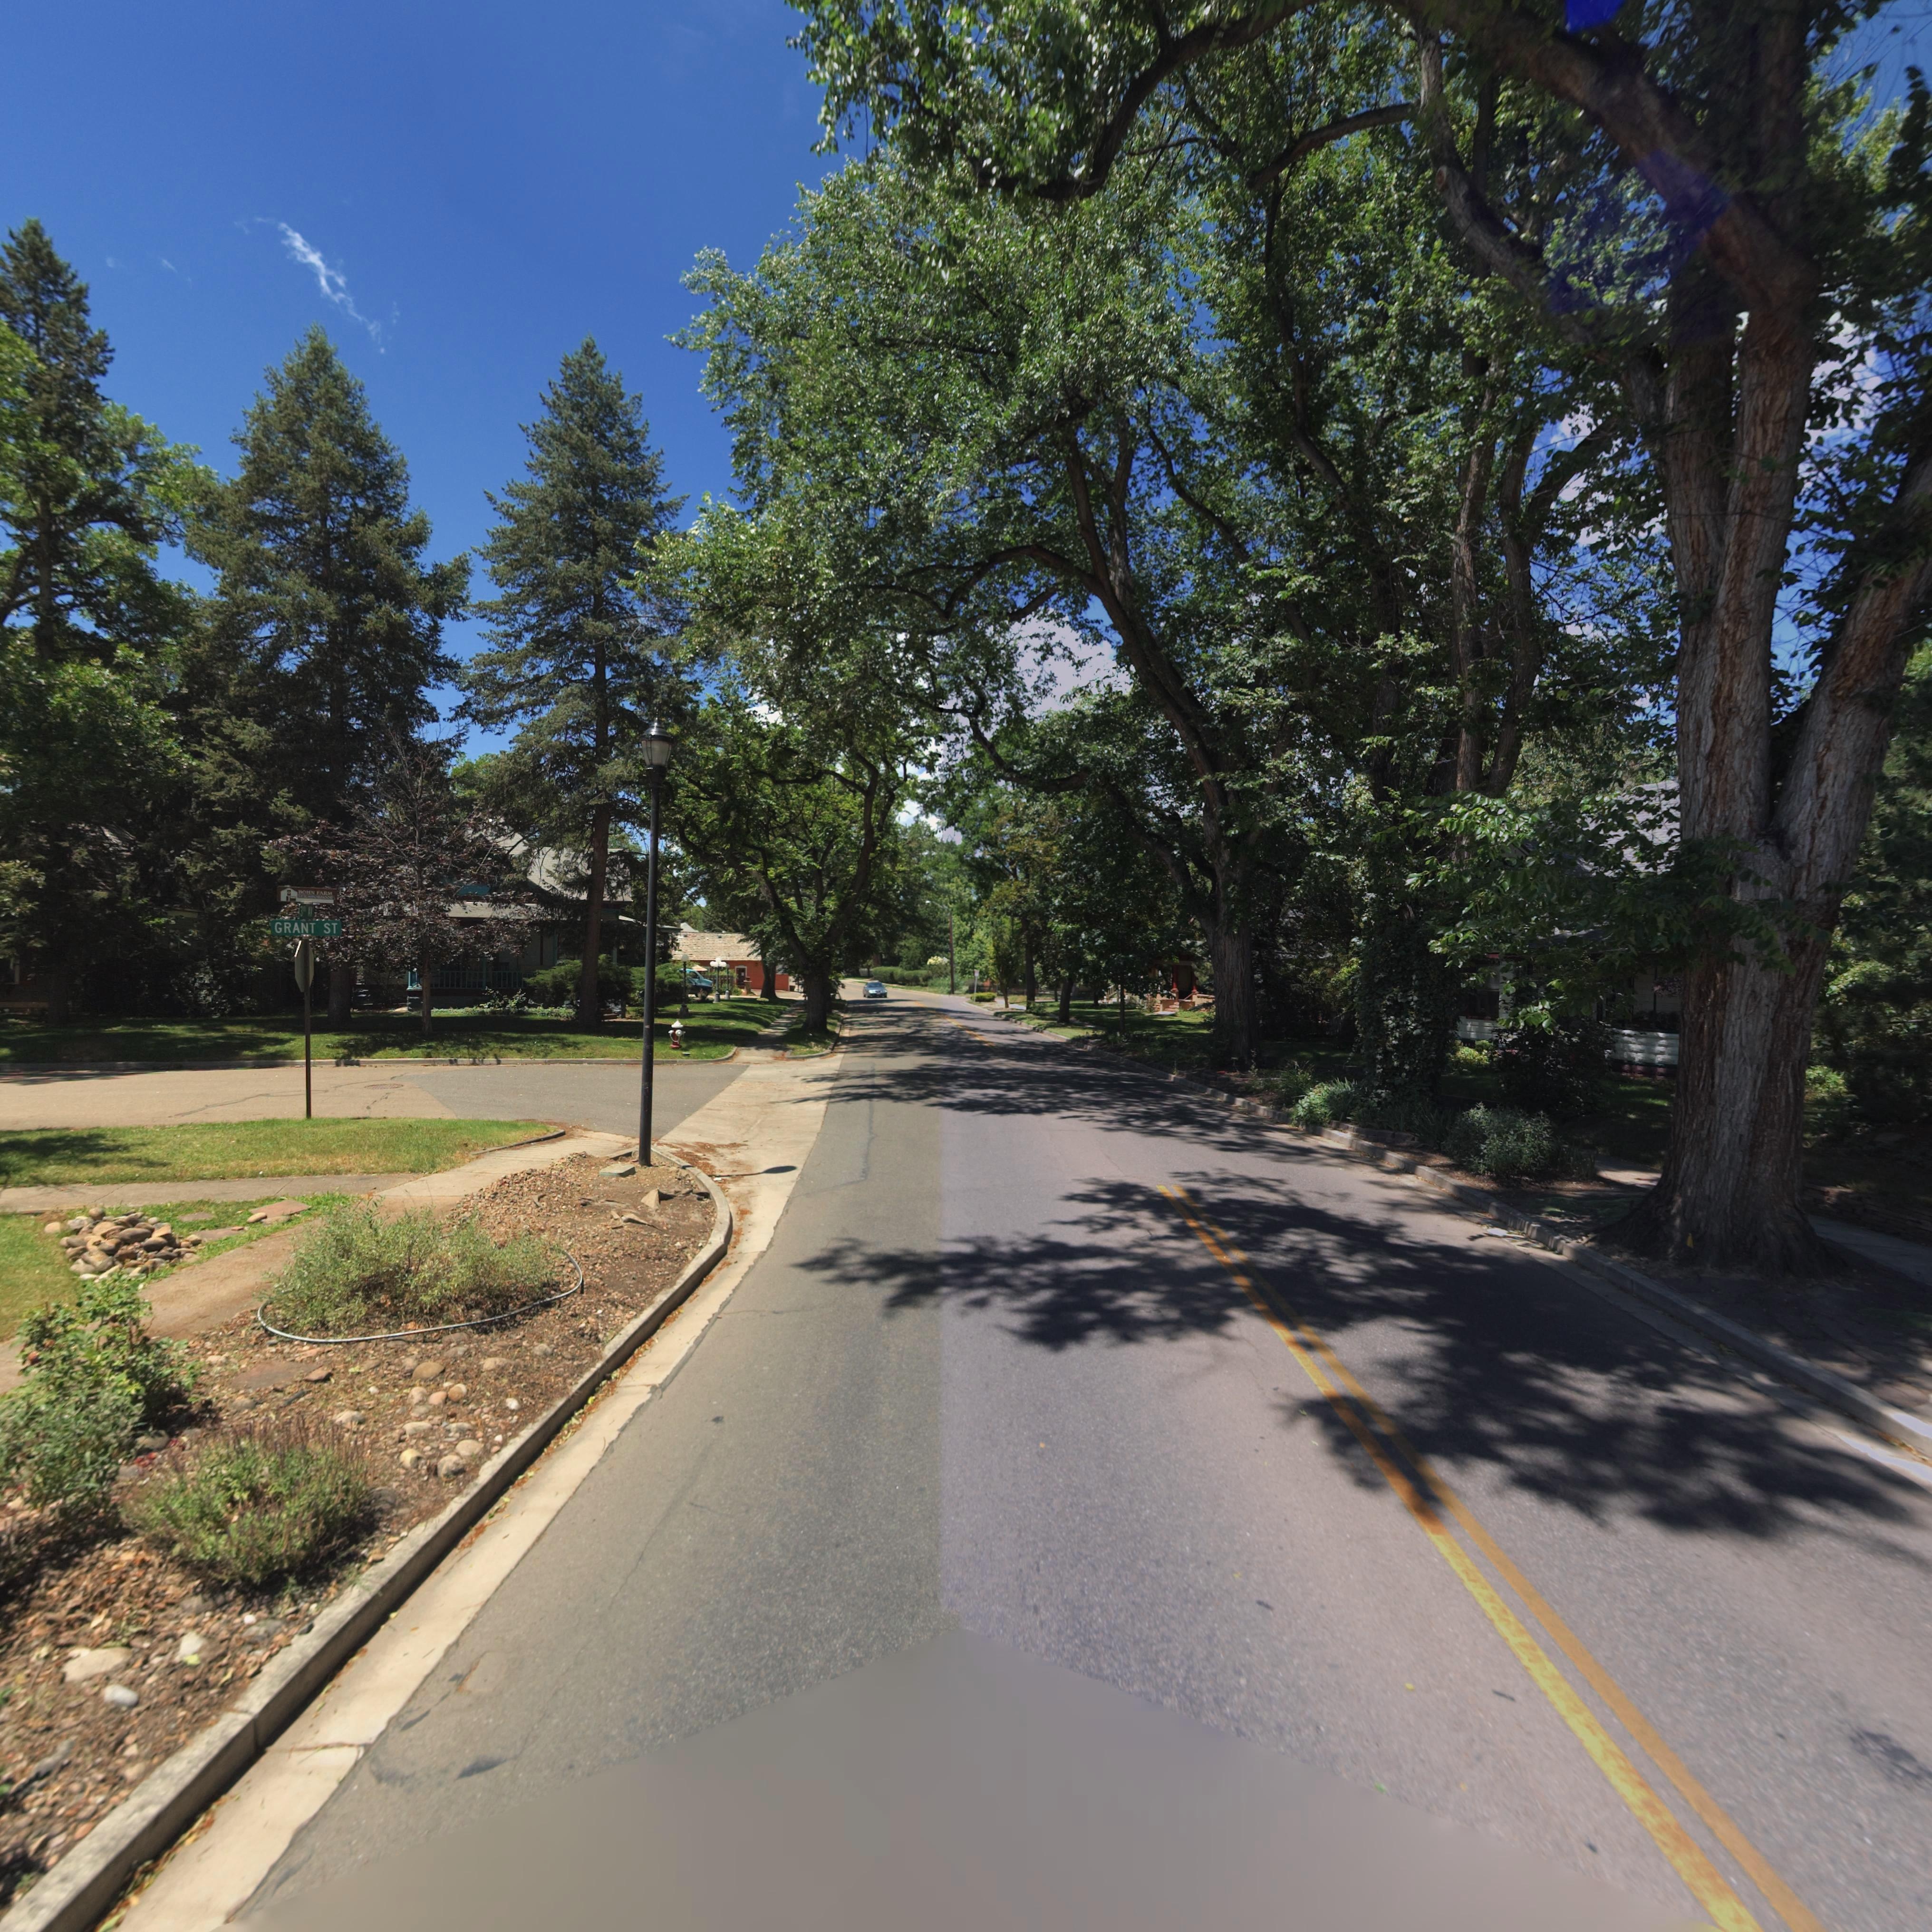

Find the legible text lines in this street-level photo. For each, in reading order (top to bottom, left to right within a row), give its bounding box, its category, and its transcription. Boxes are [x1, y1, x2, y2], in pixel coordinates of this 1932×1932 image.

[299, 906, 312, 917] StreetName: 3** A*
[274, 922, 338, 934] StreetName: GRANT ST